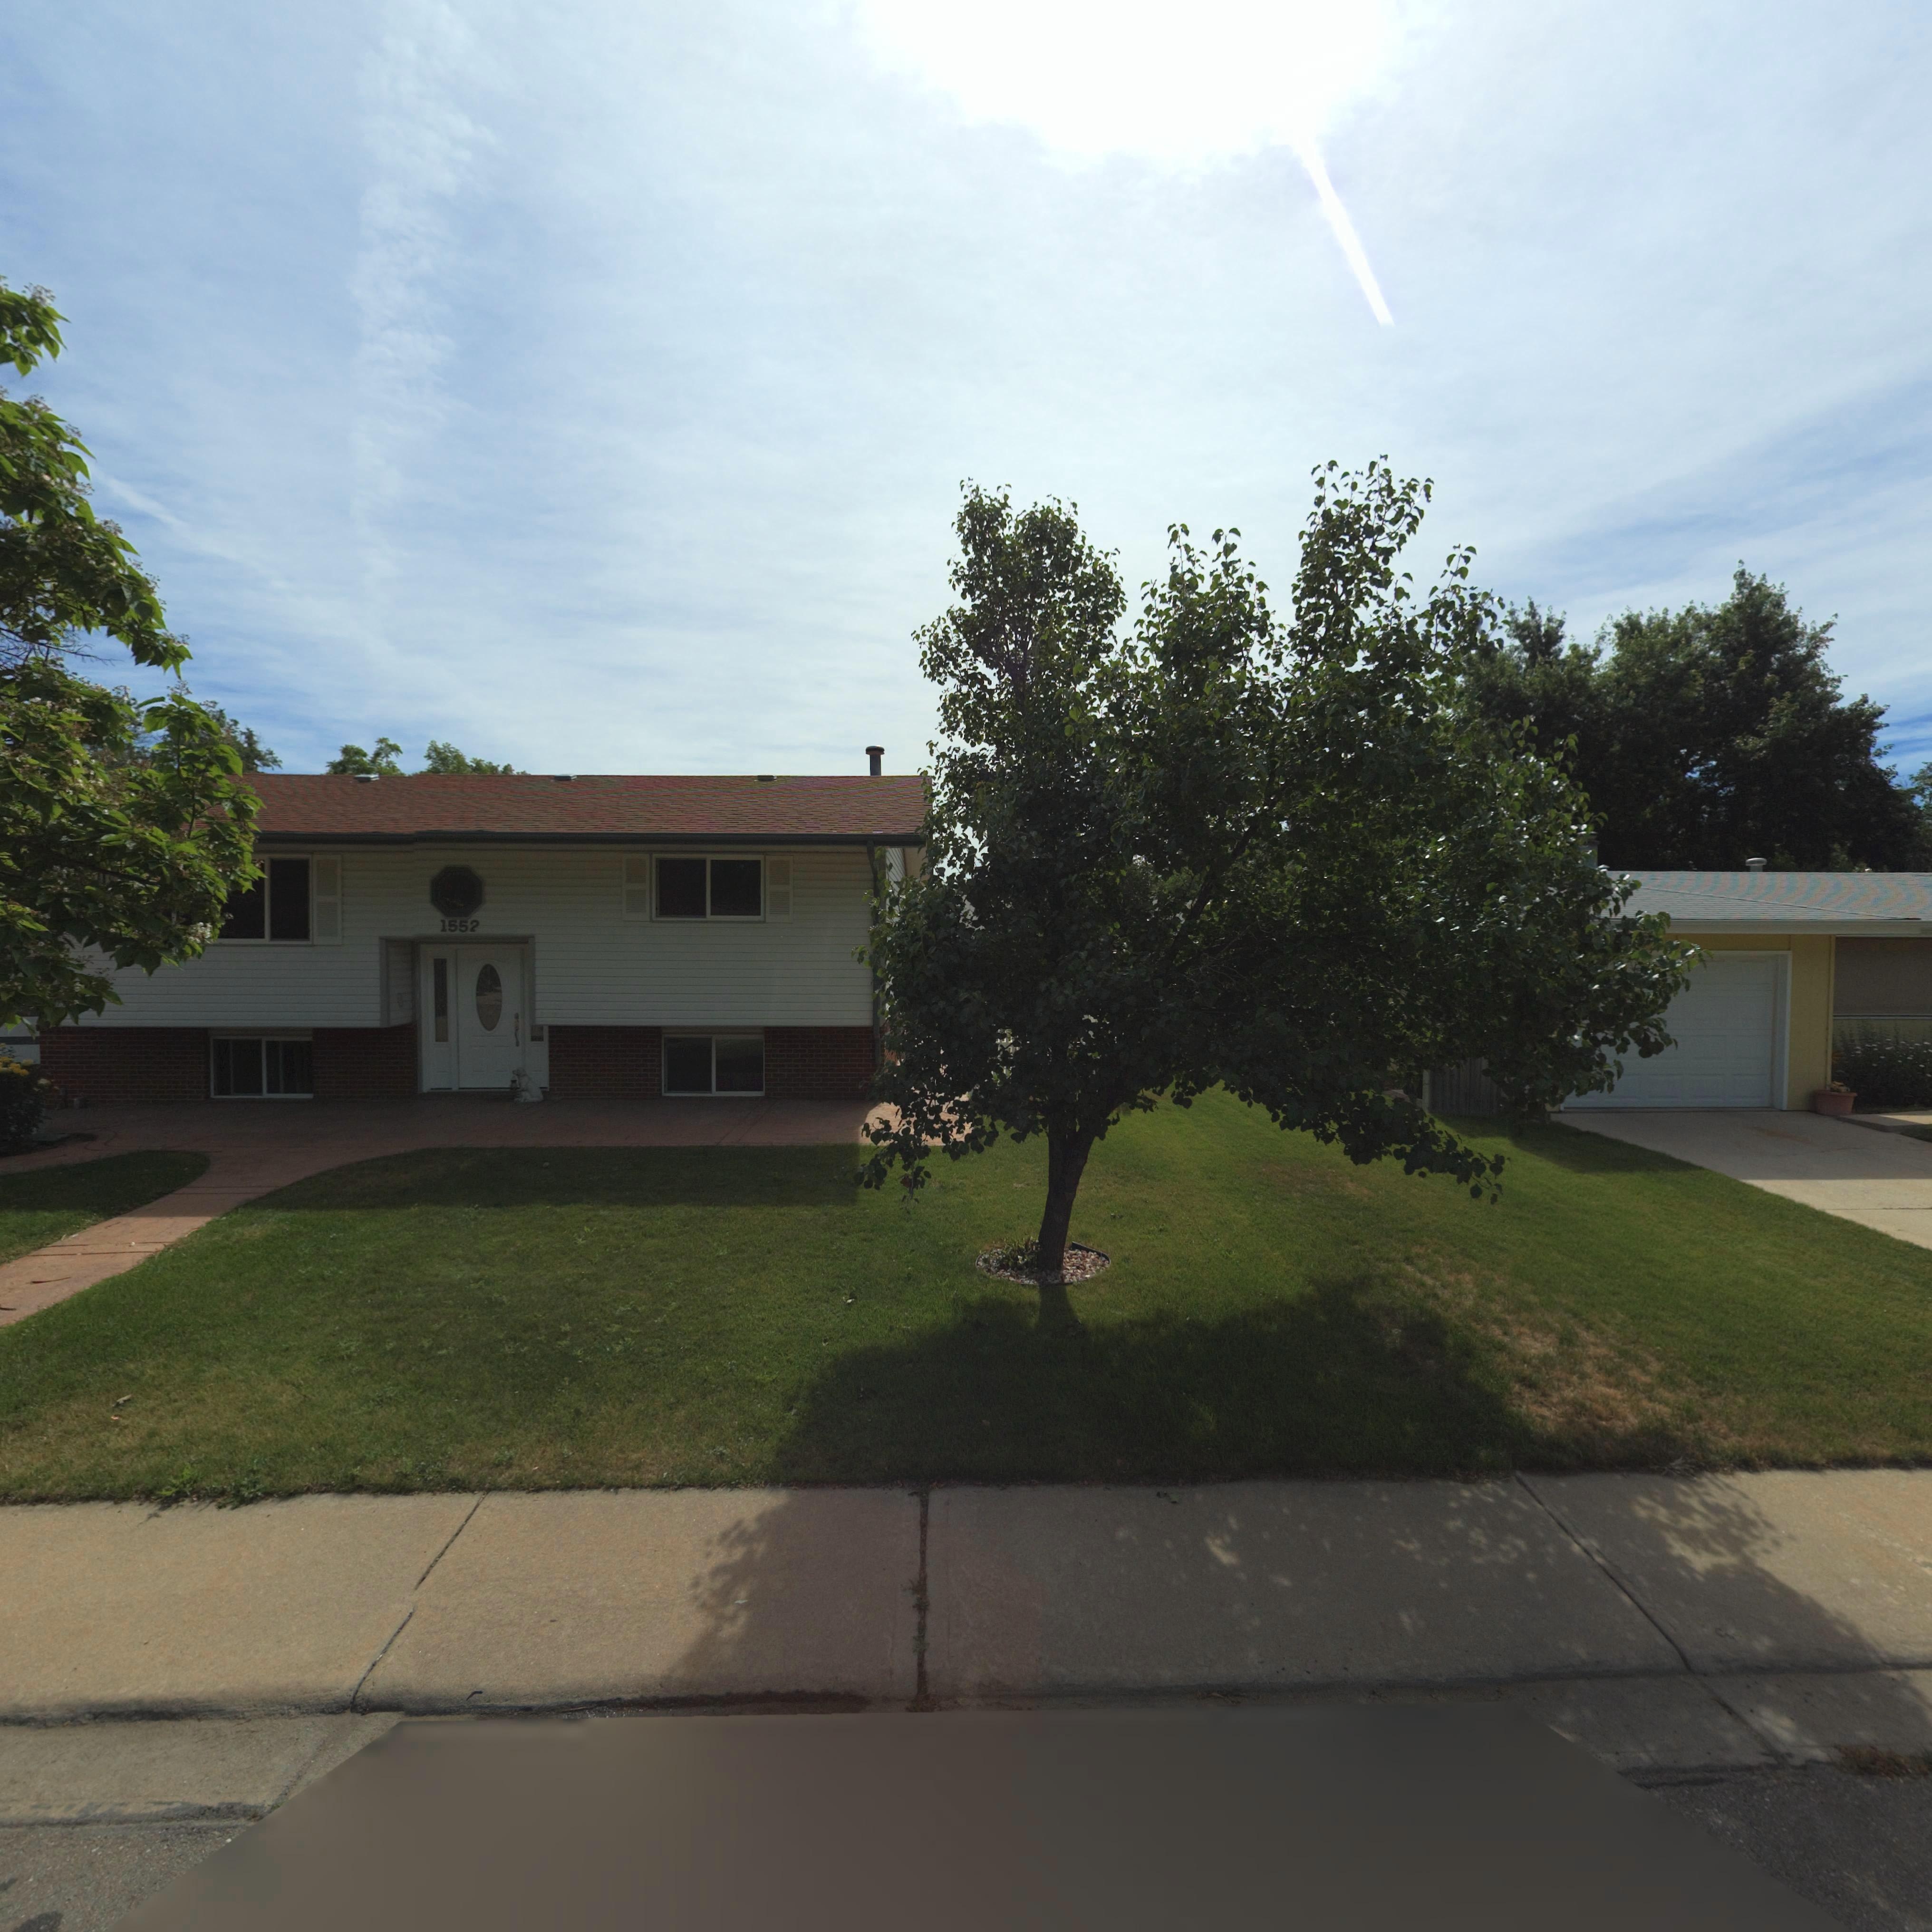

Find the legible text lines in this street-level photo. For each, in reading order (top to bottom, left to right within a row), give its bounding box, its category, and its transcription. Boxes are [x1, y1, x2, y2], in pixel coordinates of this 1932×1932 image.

[439, 919, 481, 933] StreetNumber: 1552